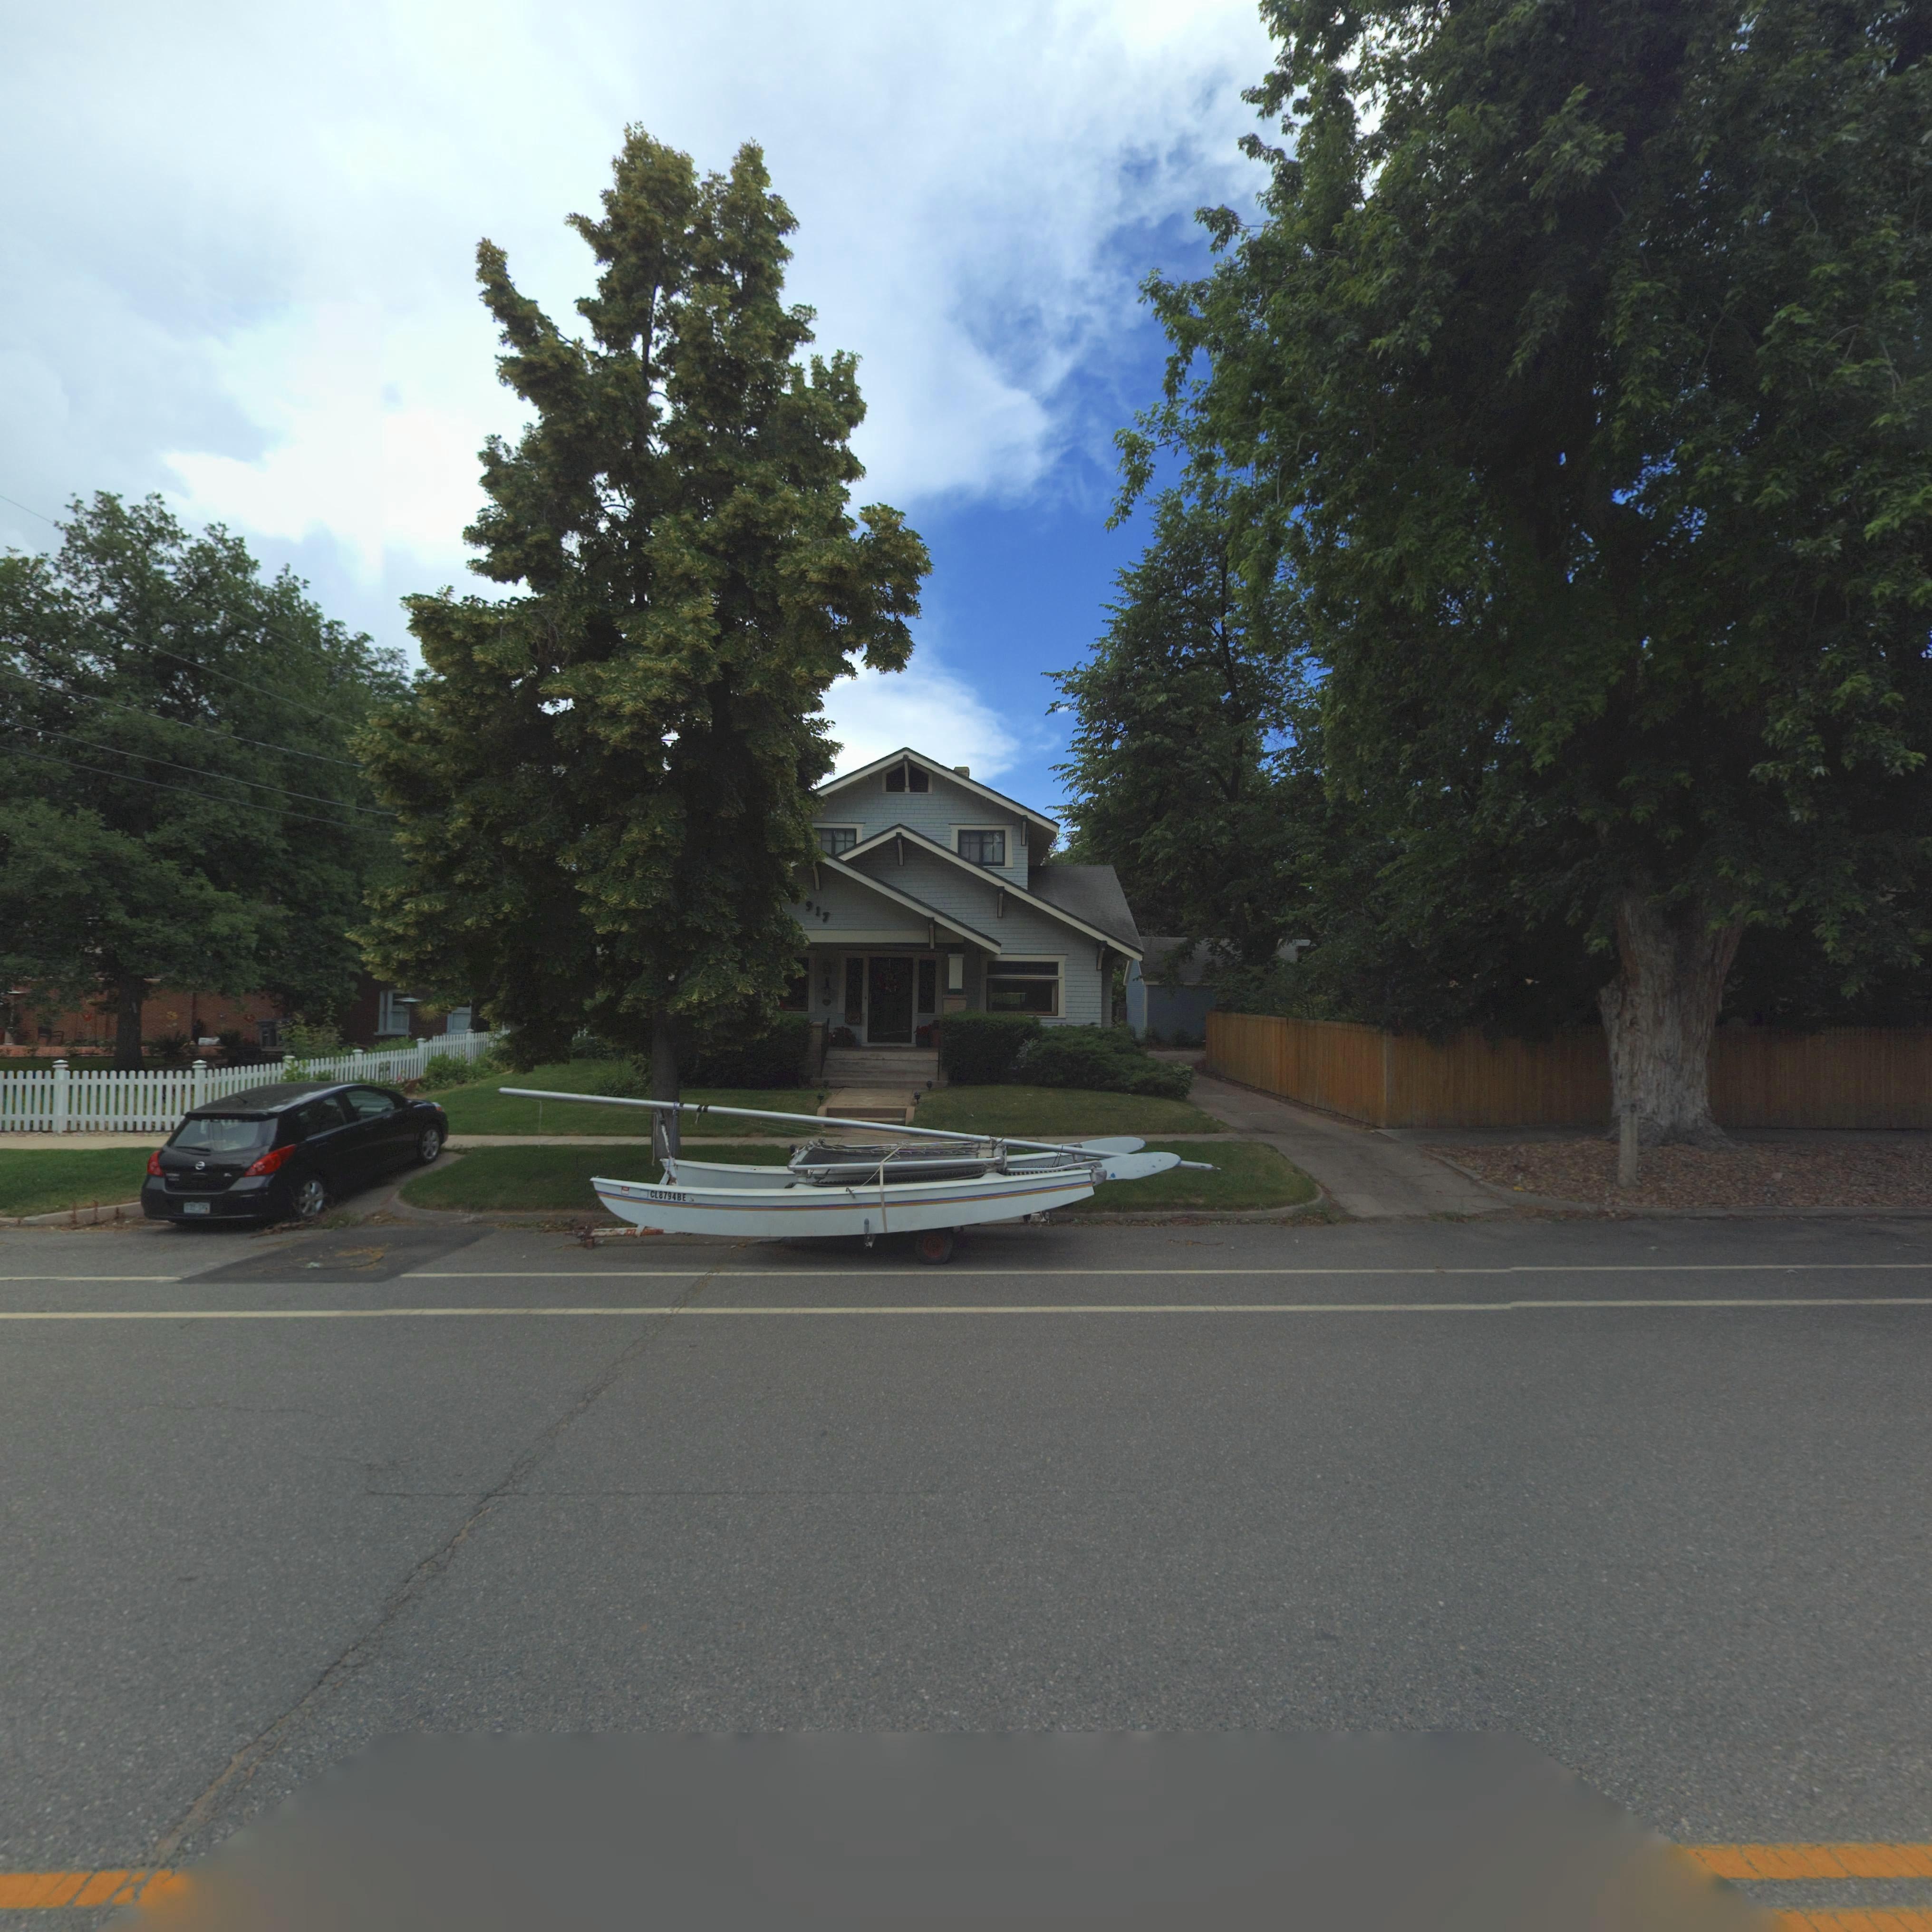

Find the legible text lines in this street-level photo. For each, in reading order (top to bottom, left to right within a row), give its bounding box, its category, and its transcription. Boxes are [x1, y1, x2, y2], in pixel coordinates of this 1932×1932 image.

[805, 900, 831, 923] StreetNumber: 917